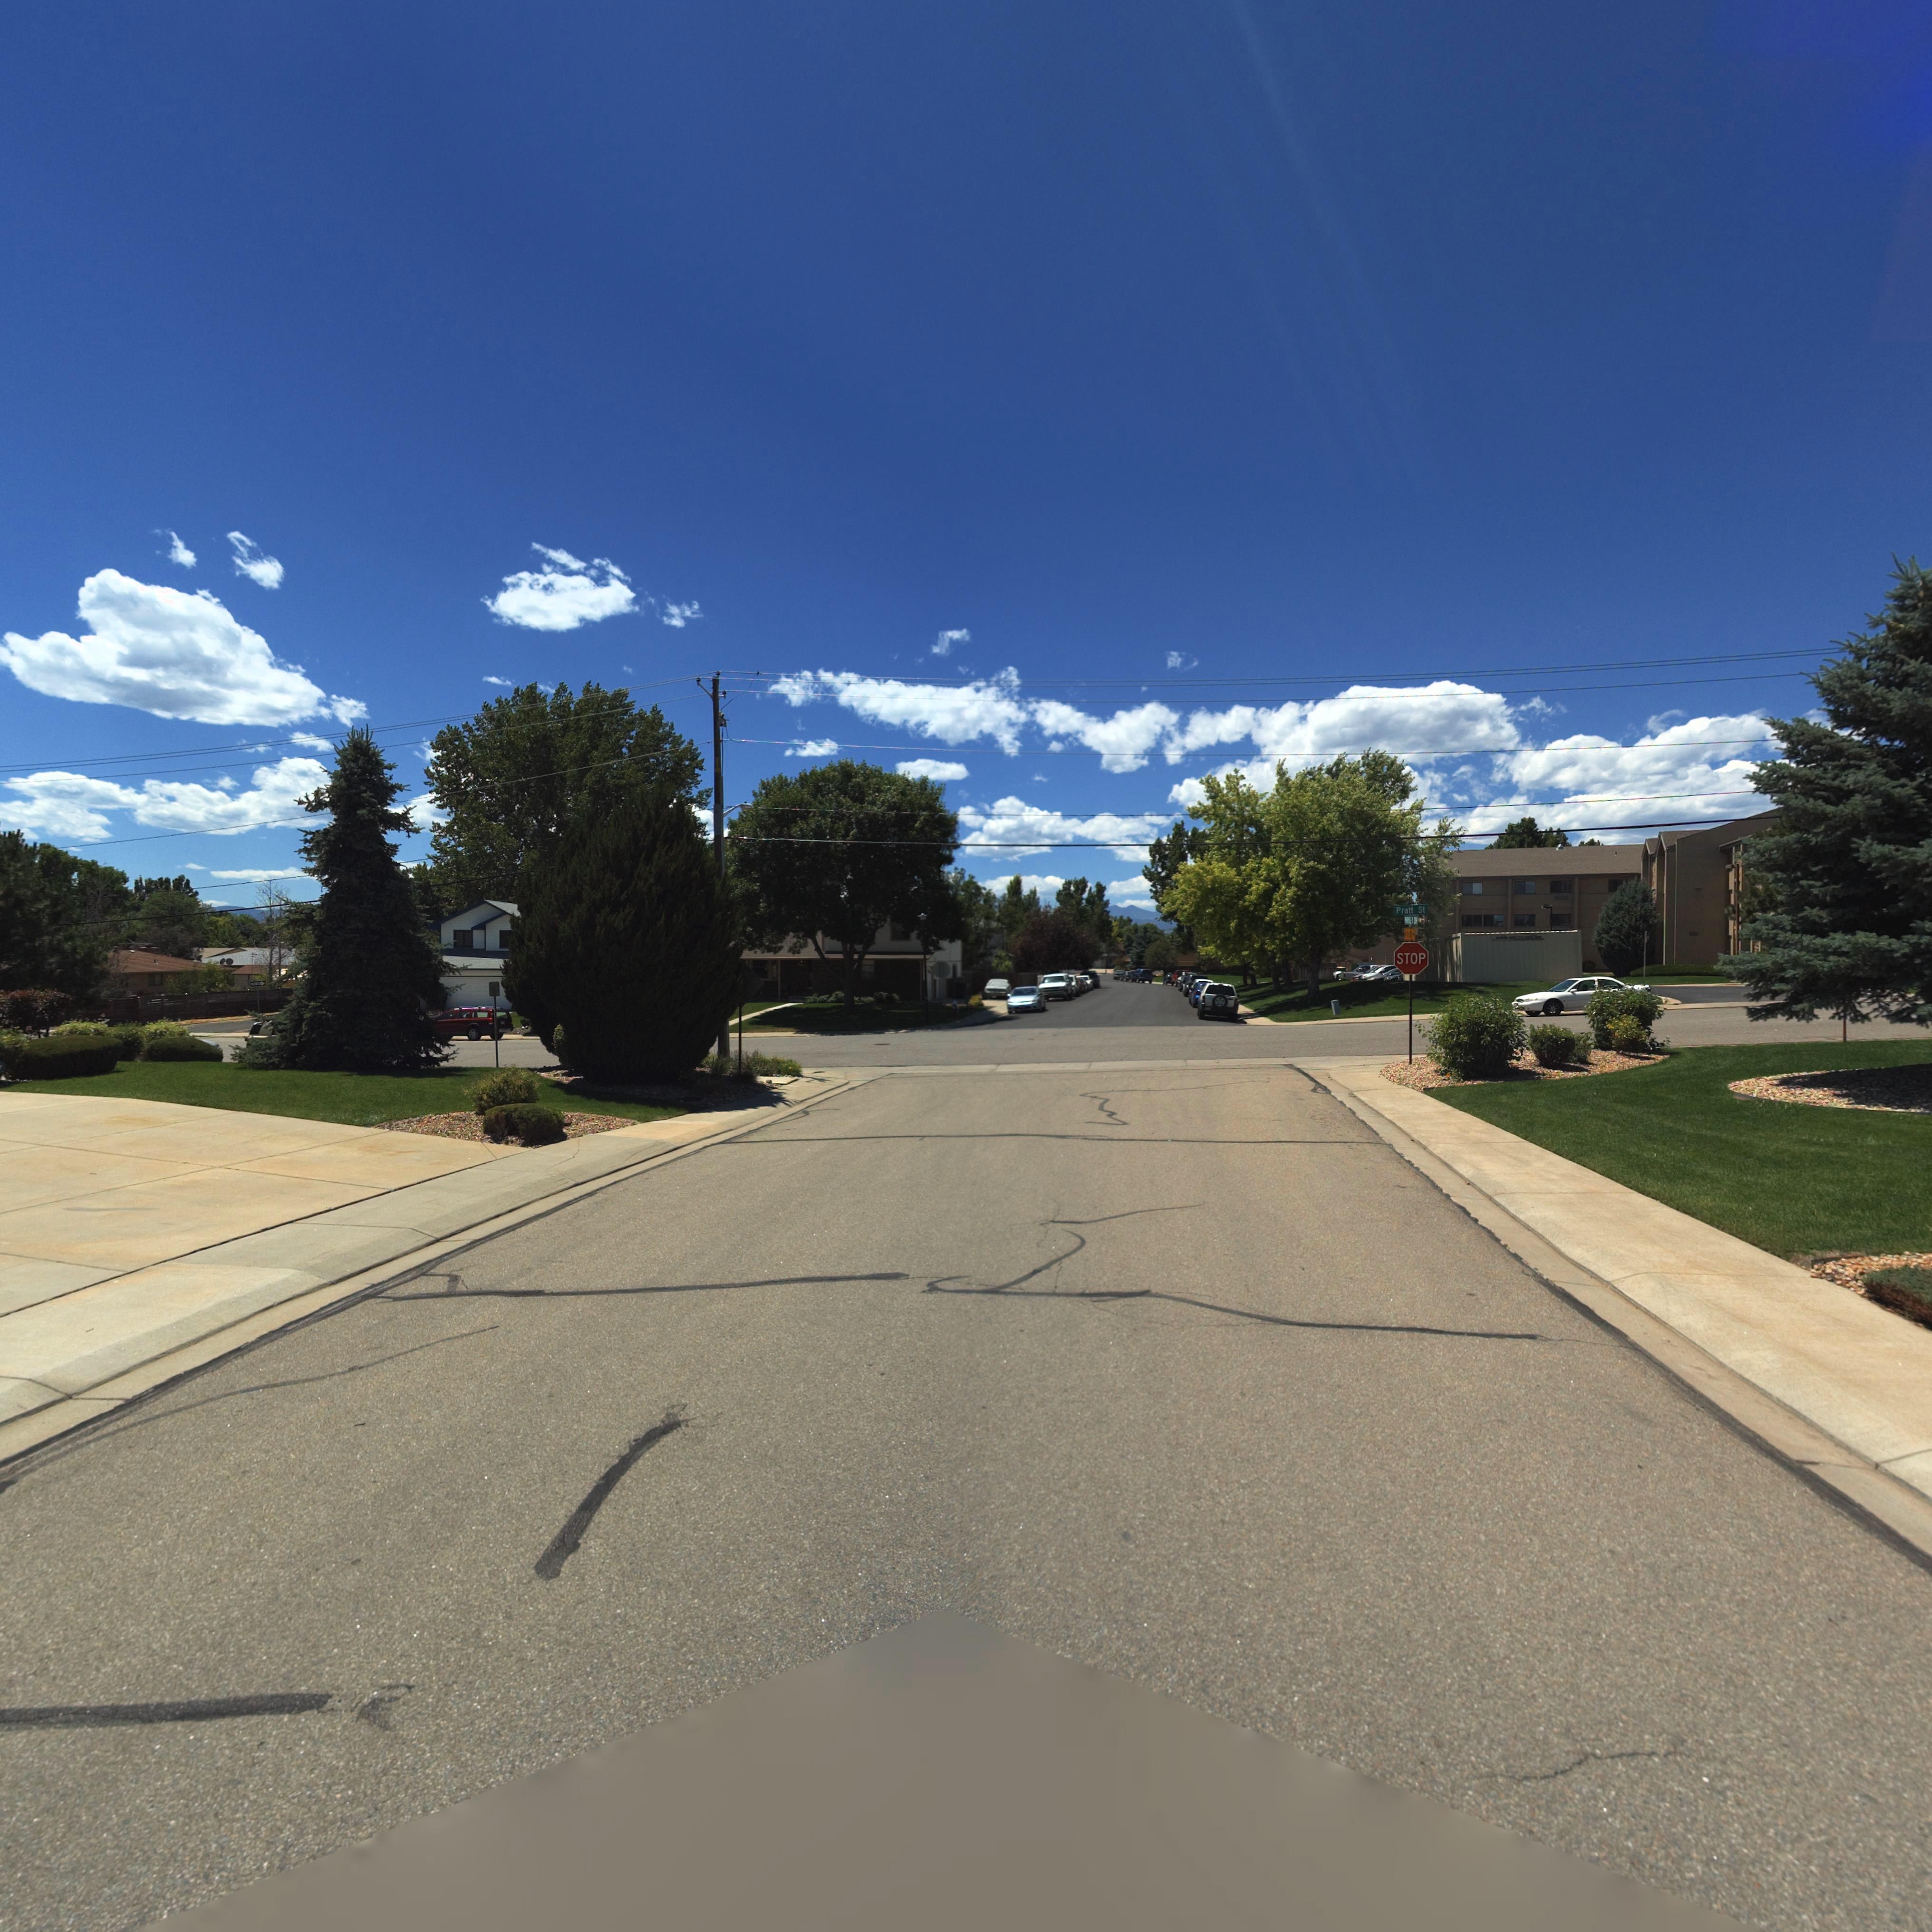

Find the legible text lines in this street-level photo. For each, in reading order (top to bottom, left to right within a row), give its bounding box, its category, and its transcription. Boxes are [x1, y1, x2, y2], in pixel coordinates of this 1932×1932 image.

[1396, 906, 1425, 914] StreetName: Pratt St
[1404, 916, 1418, 924] StreetName: P***E* D*